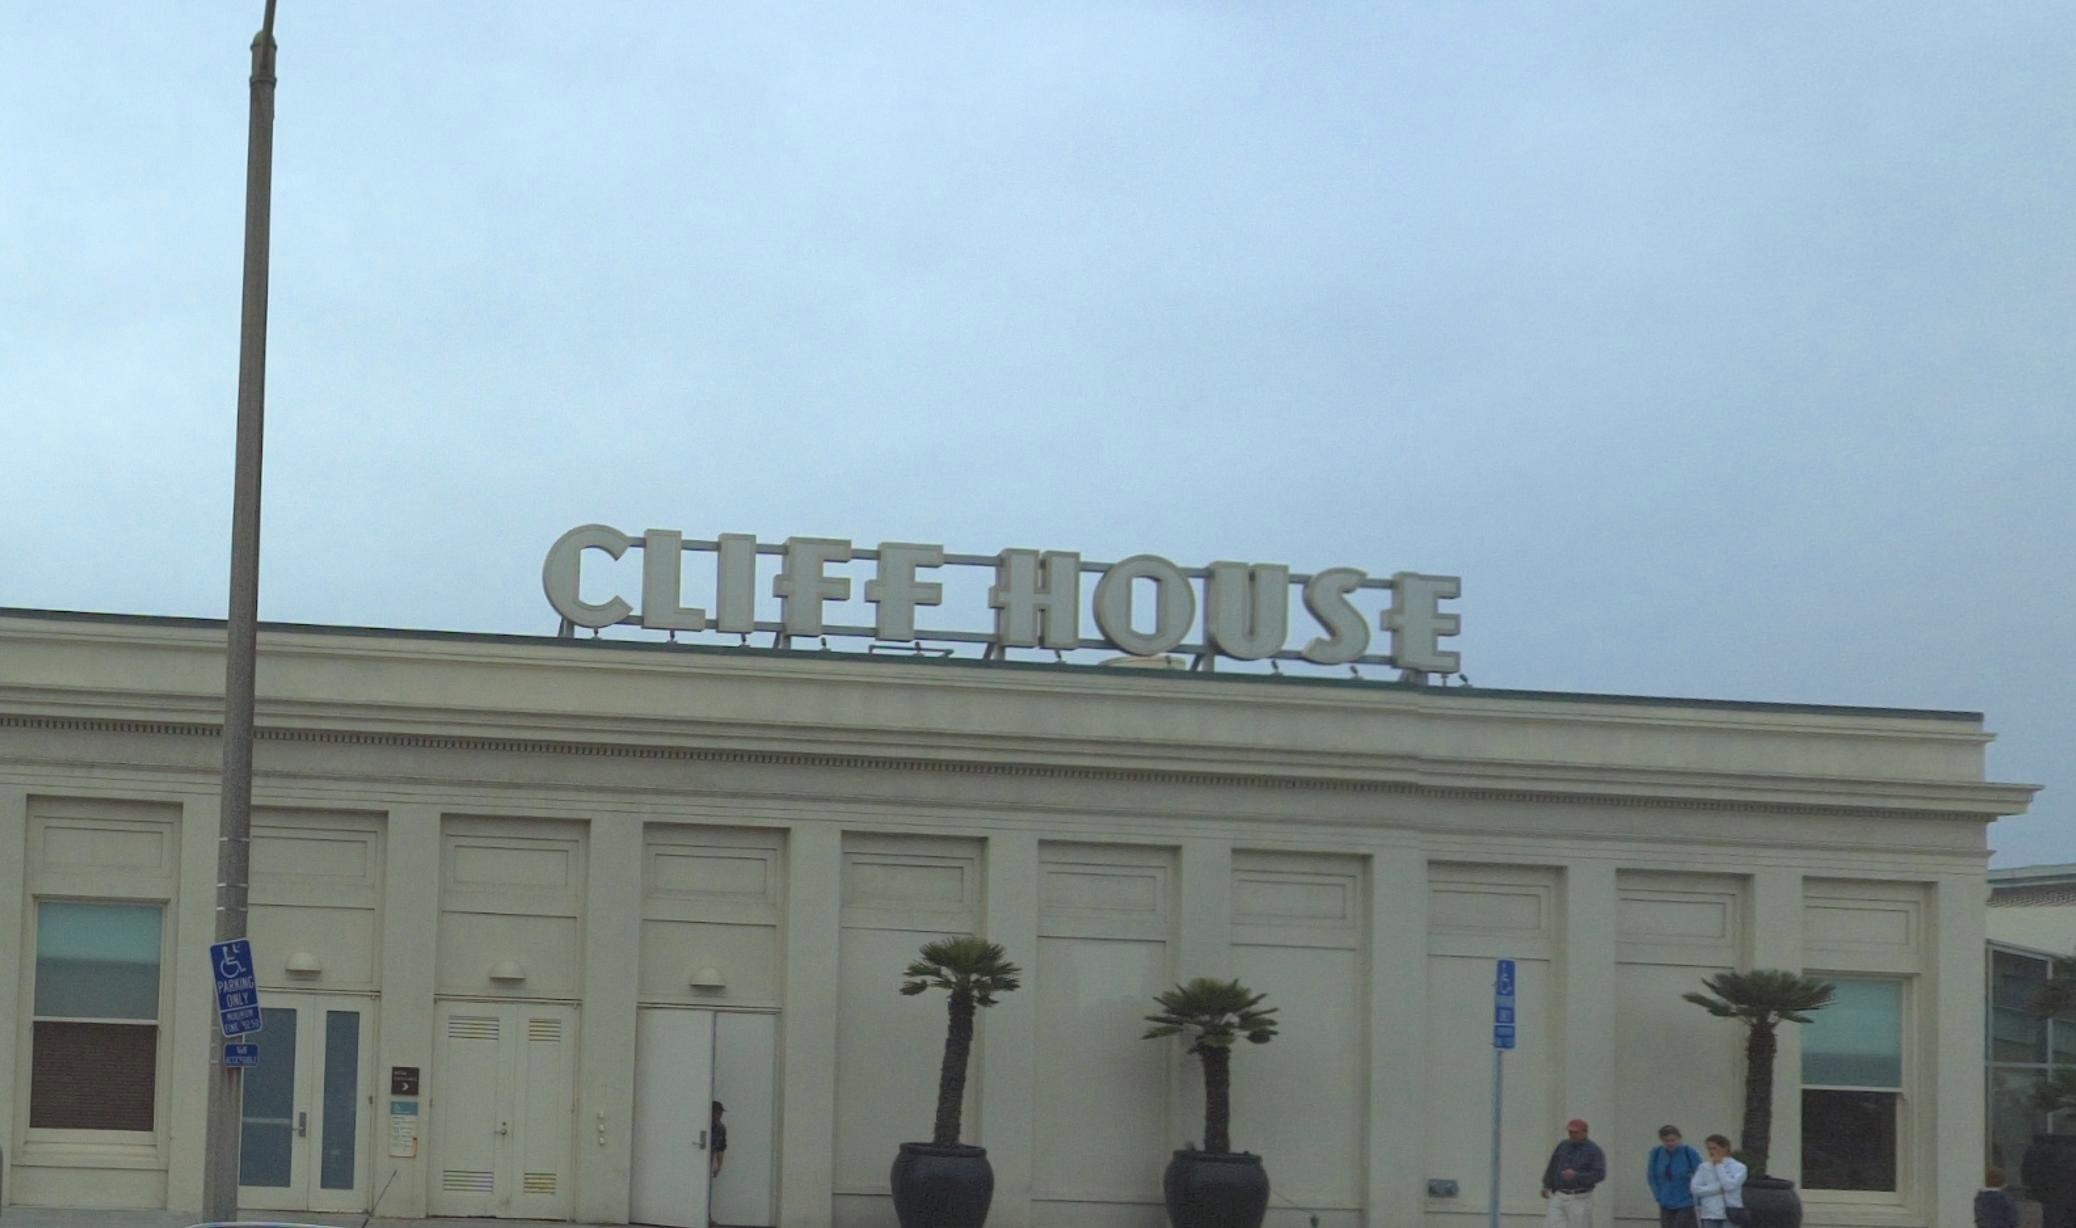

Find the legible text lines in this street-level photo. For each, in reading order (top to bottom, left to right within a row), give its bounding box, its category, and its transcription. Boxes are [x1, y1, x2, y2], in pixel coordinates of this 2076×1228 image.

[538, 519, 1464, 678] BusinessName: CLIFF HOUSE
[215, 972, 256, 996] None: PARKING
[224, 988, 251, 1010] None: ONLY